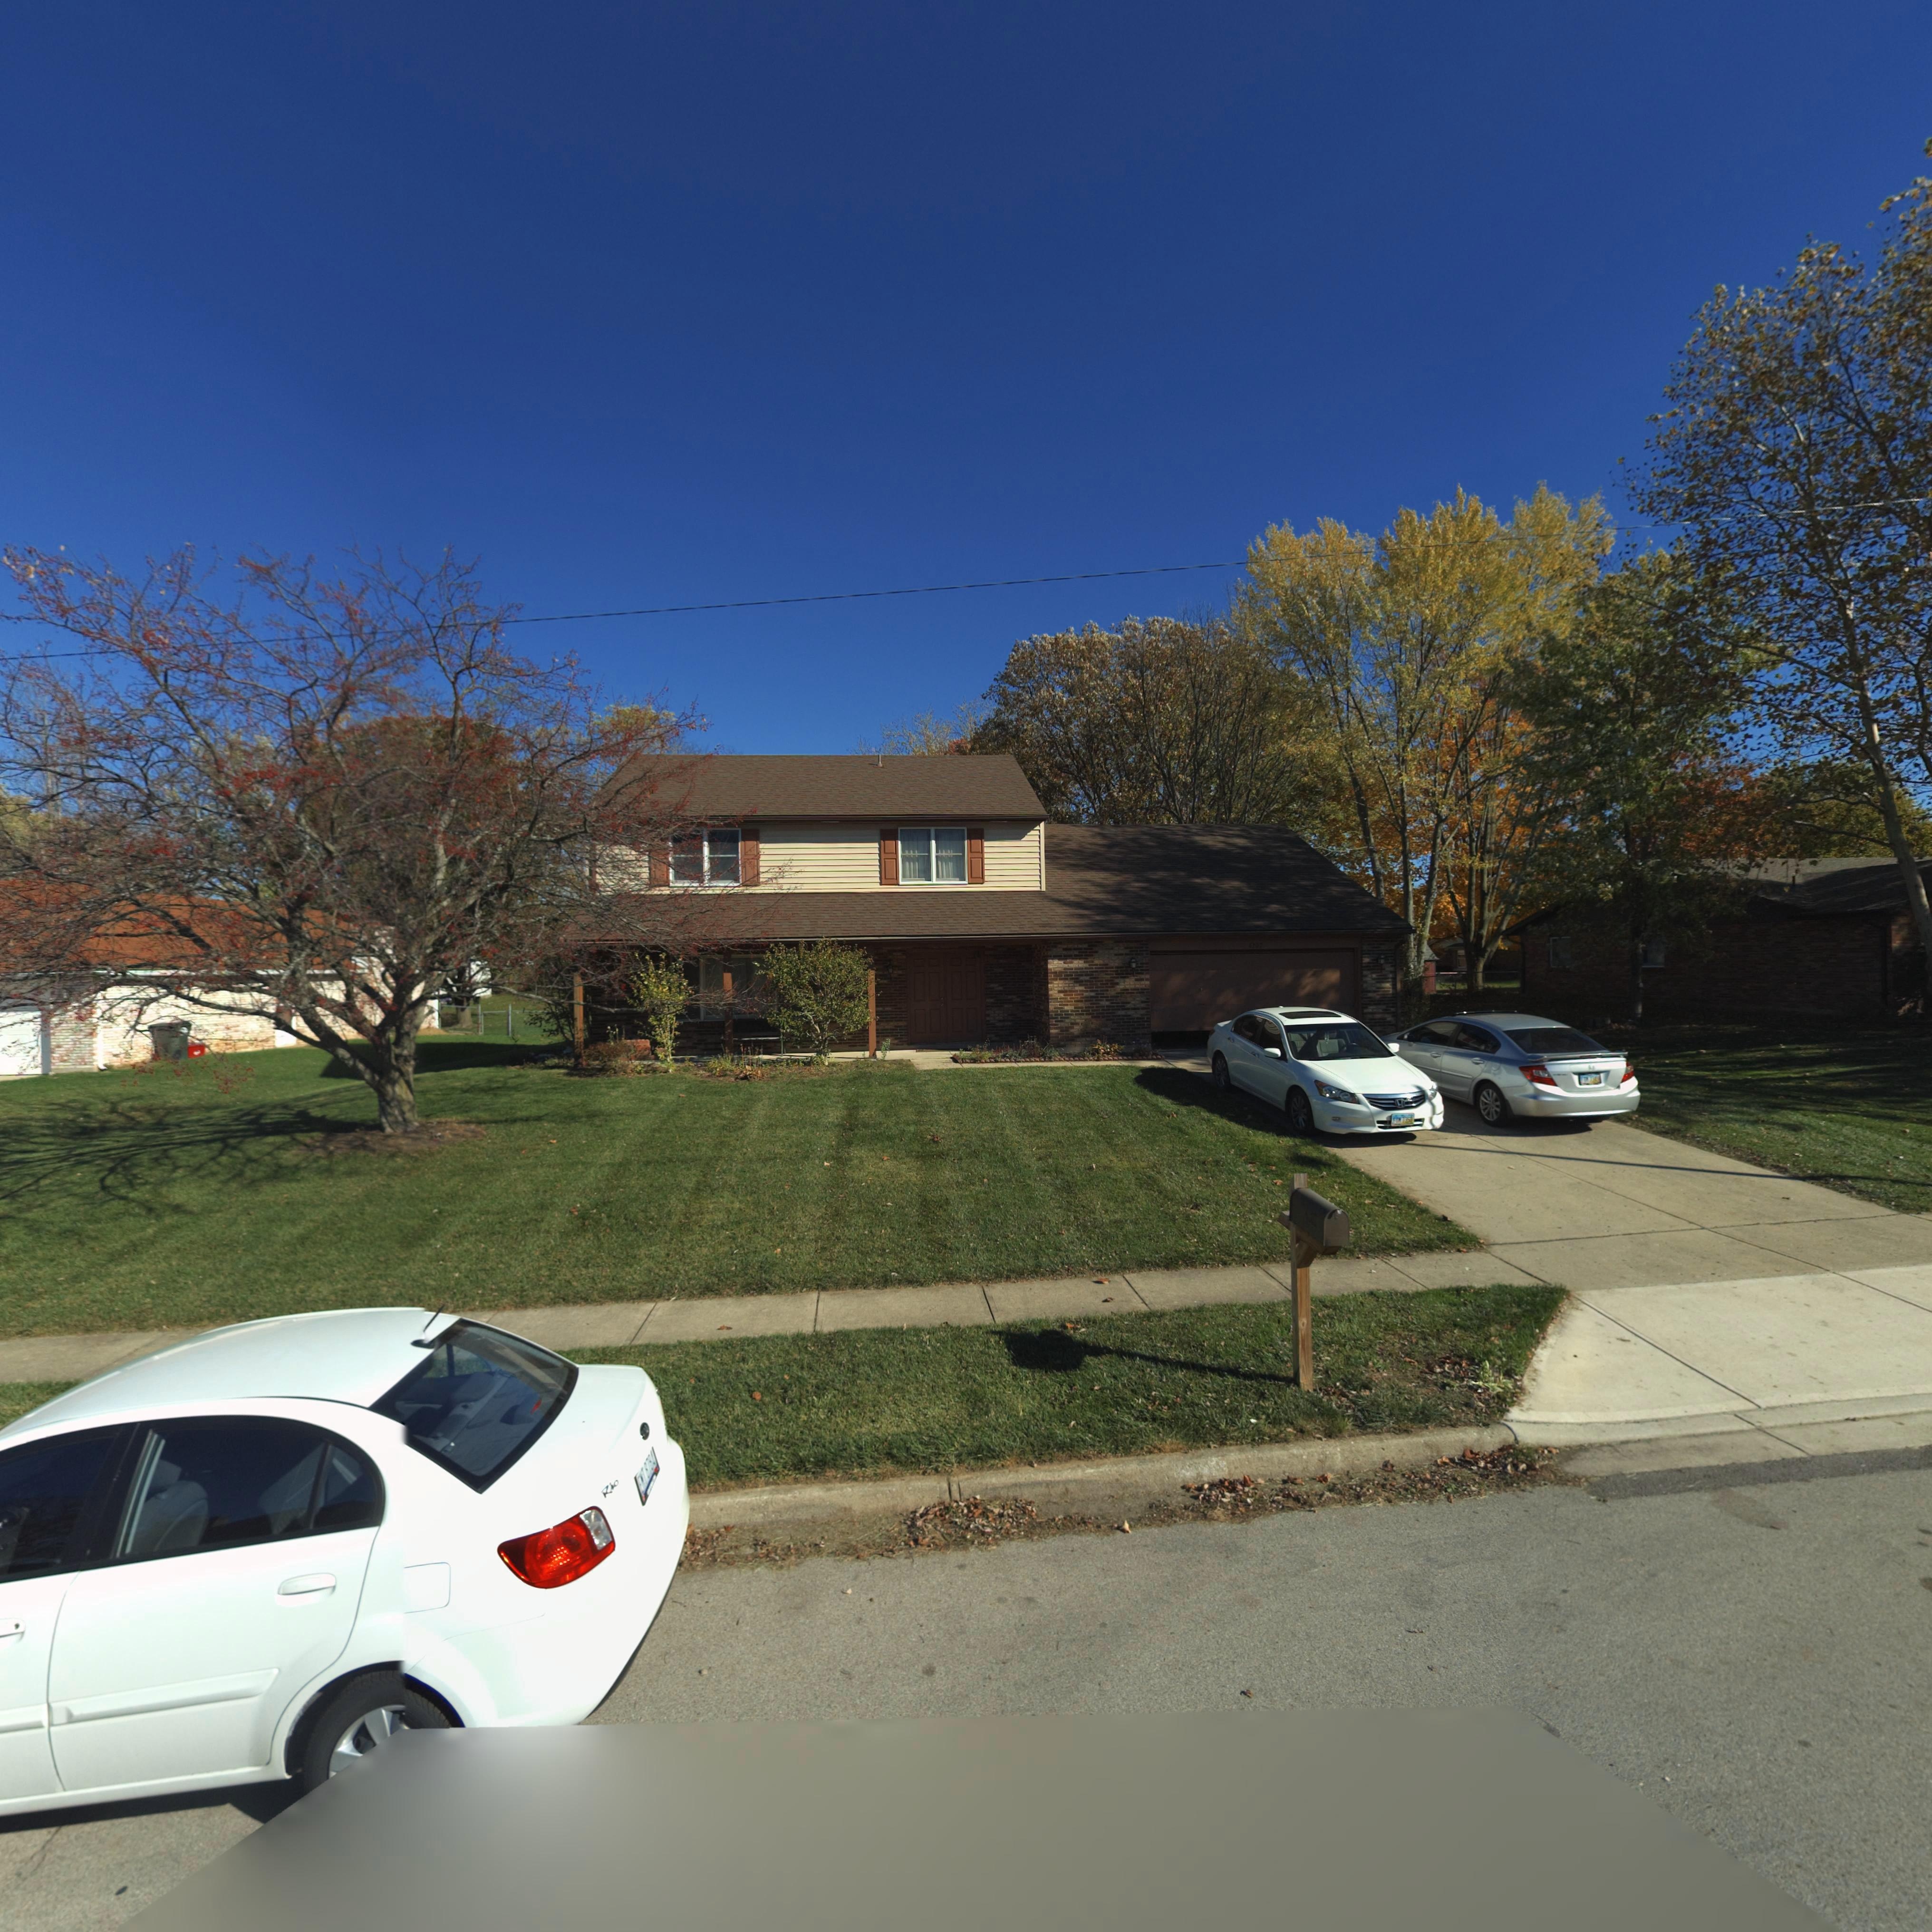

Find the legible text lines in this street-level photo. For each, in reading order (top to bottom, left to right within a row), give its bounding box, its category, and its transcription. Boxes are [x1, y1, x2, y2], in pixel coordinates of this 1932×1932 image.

[1248, 942, 1264, 949] StreetNumber: 4202